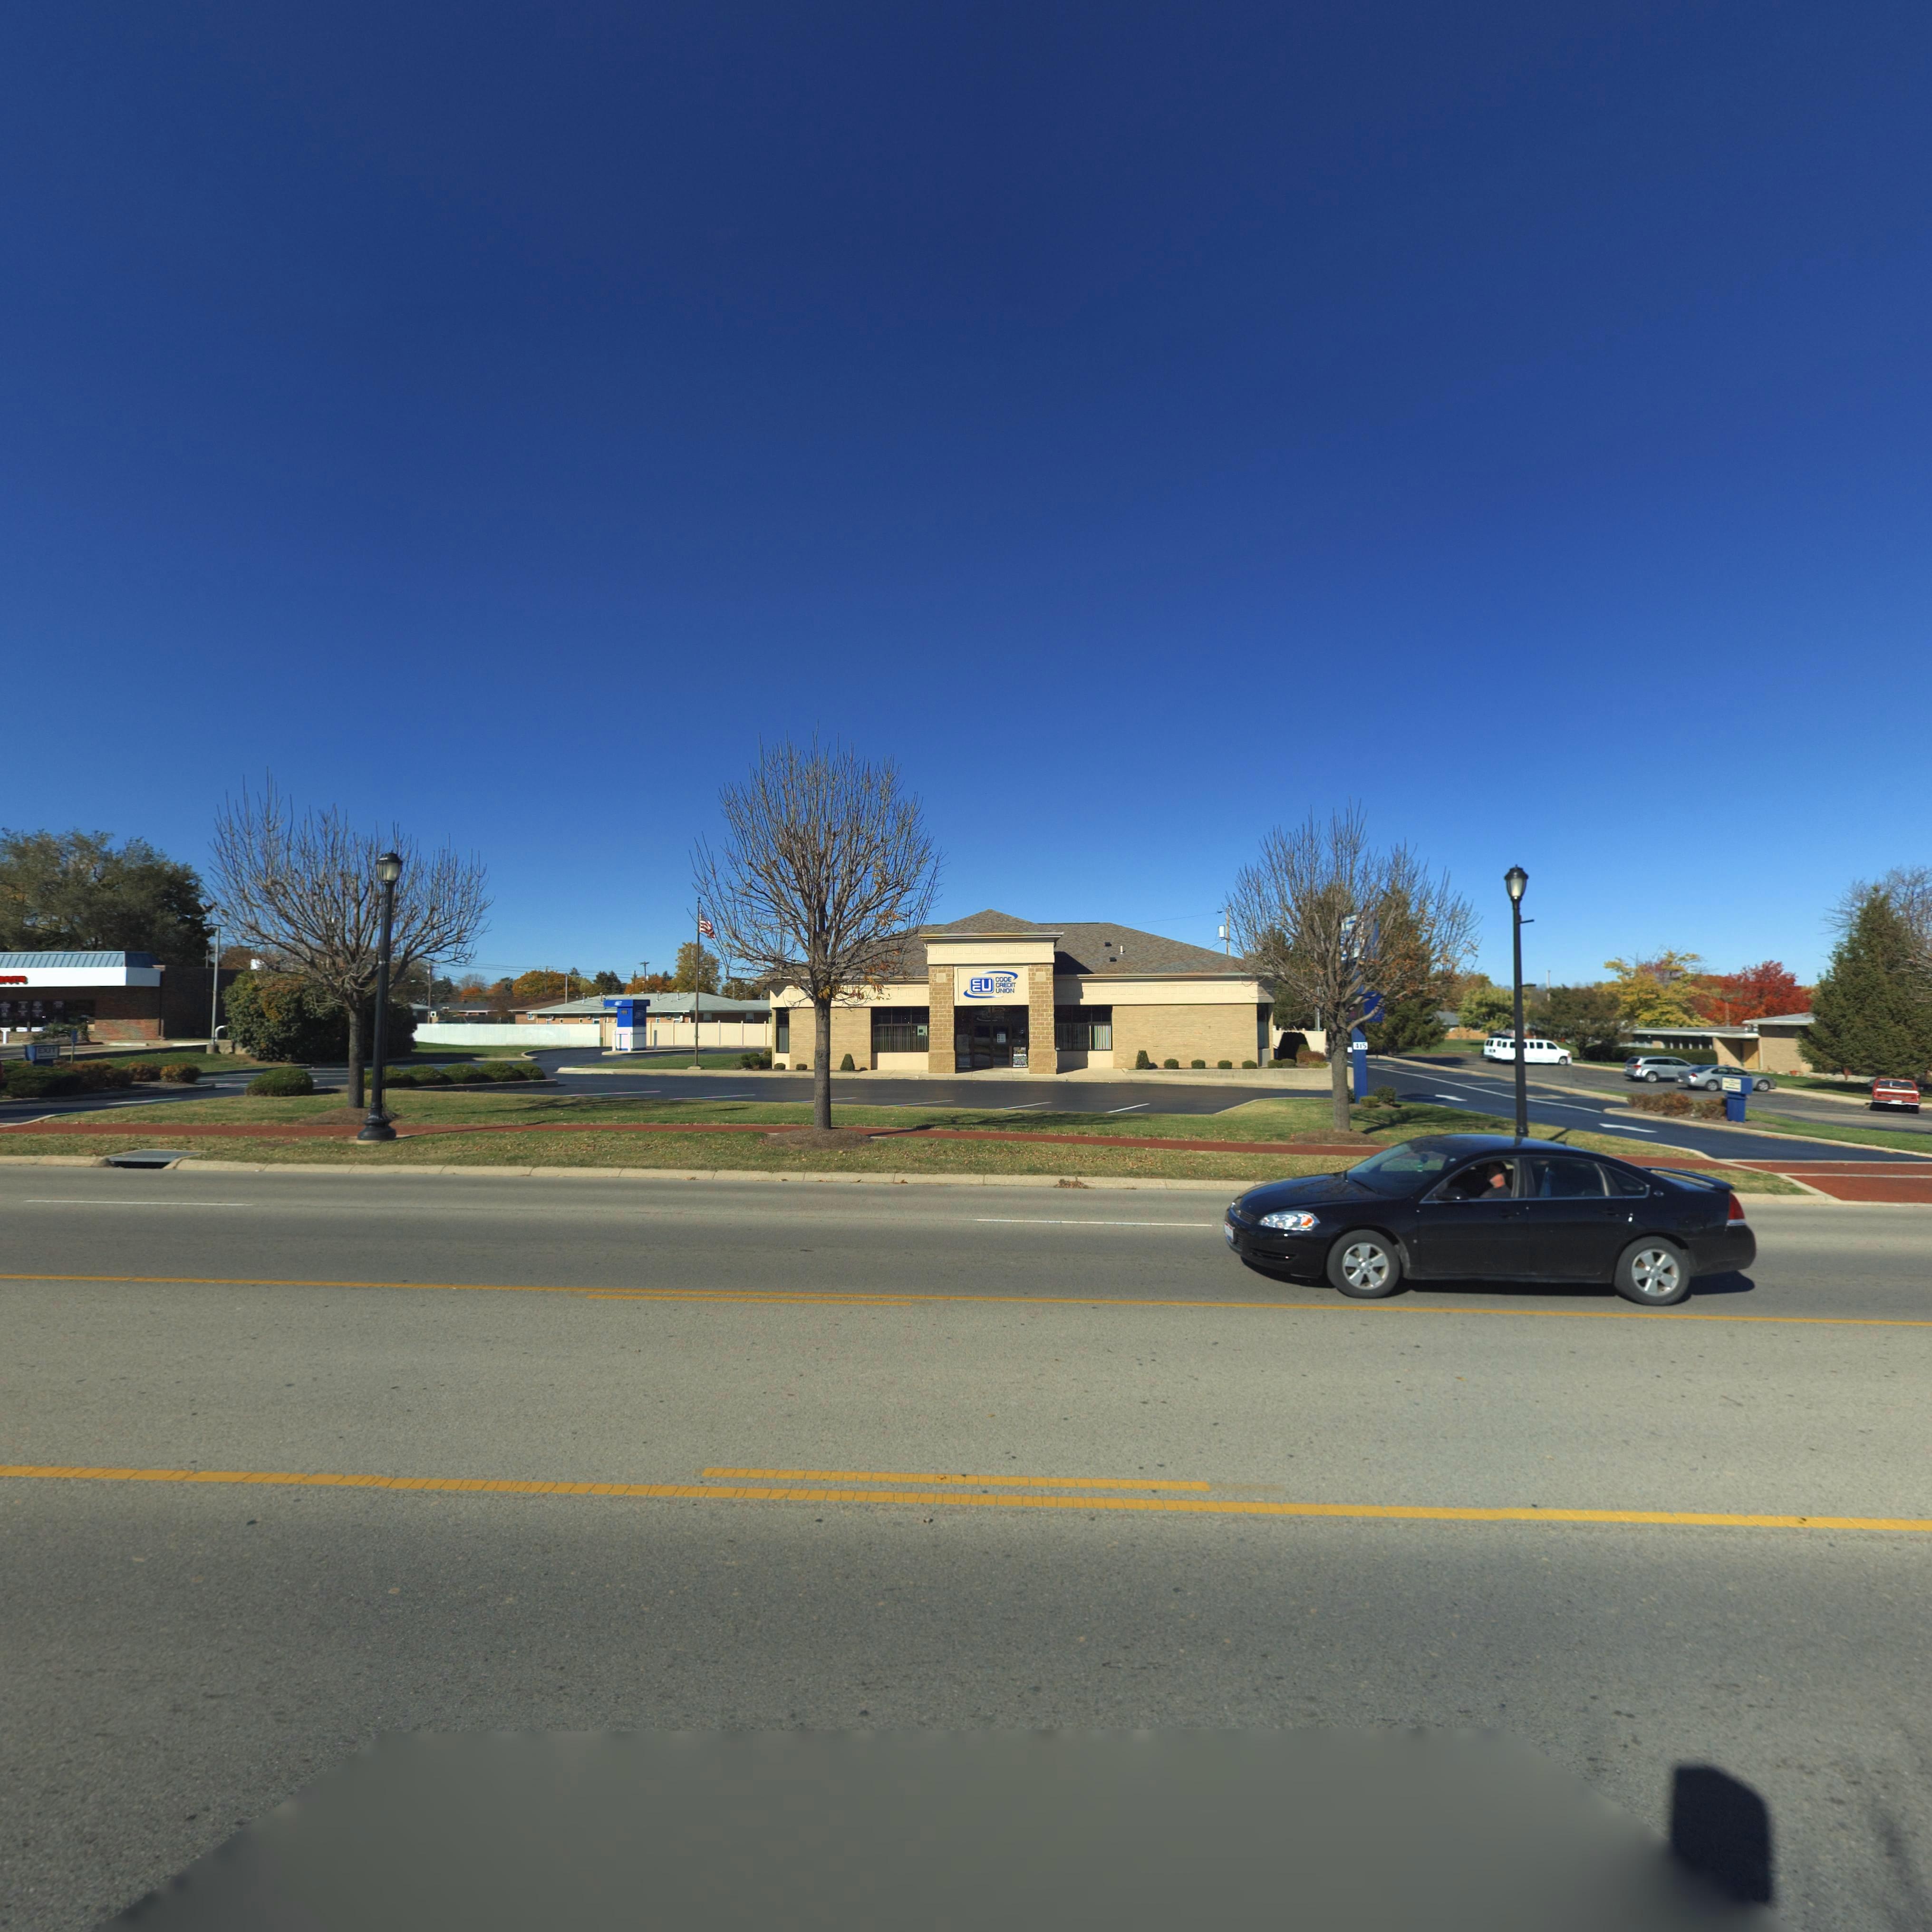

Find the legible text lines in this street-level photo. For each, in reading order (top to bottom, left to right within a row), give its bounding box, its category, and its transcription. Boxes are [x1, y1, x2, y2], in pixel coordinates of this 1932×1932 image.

[995, 976, 1012, 983] BusinessName: CODE
[995, 982, 1017, 988] BusinessName: CREDIT
[995, 988, 1015, 994] BusinessName: UNION
[1354, 1042, 1368, 1050] StreetNumber: 415
[37, 1046, 57, 1054] None: EXIT